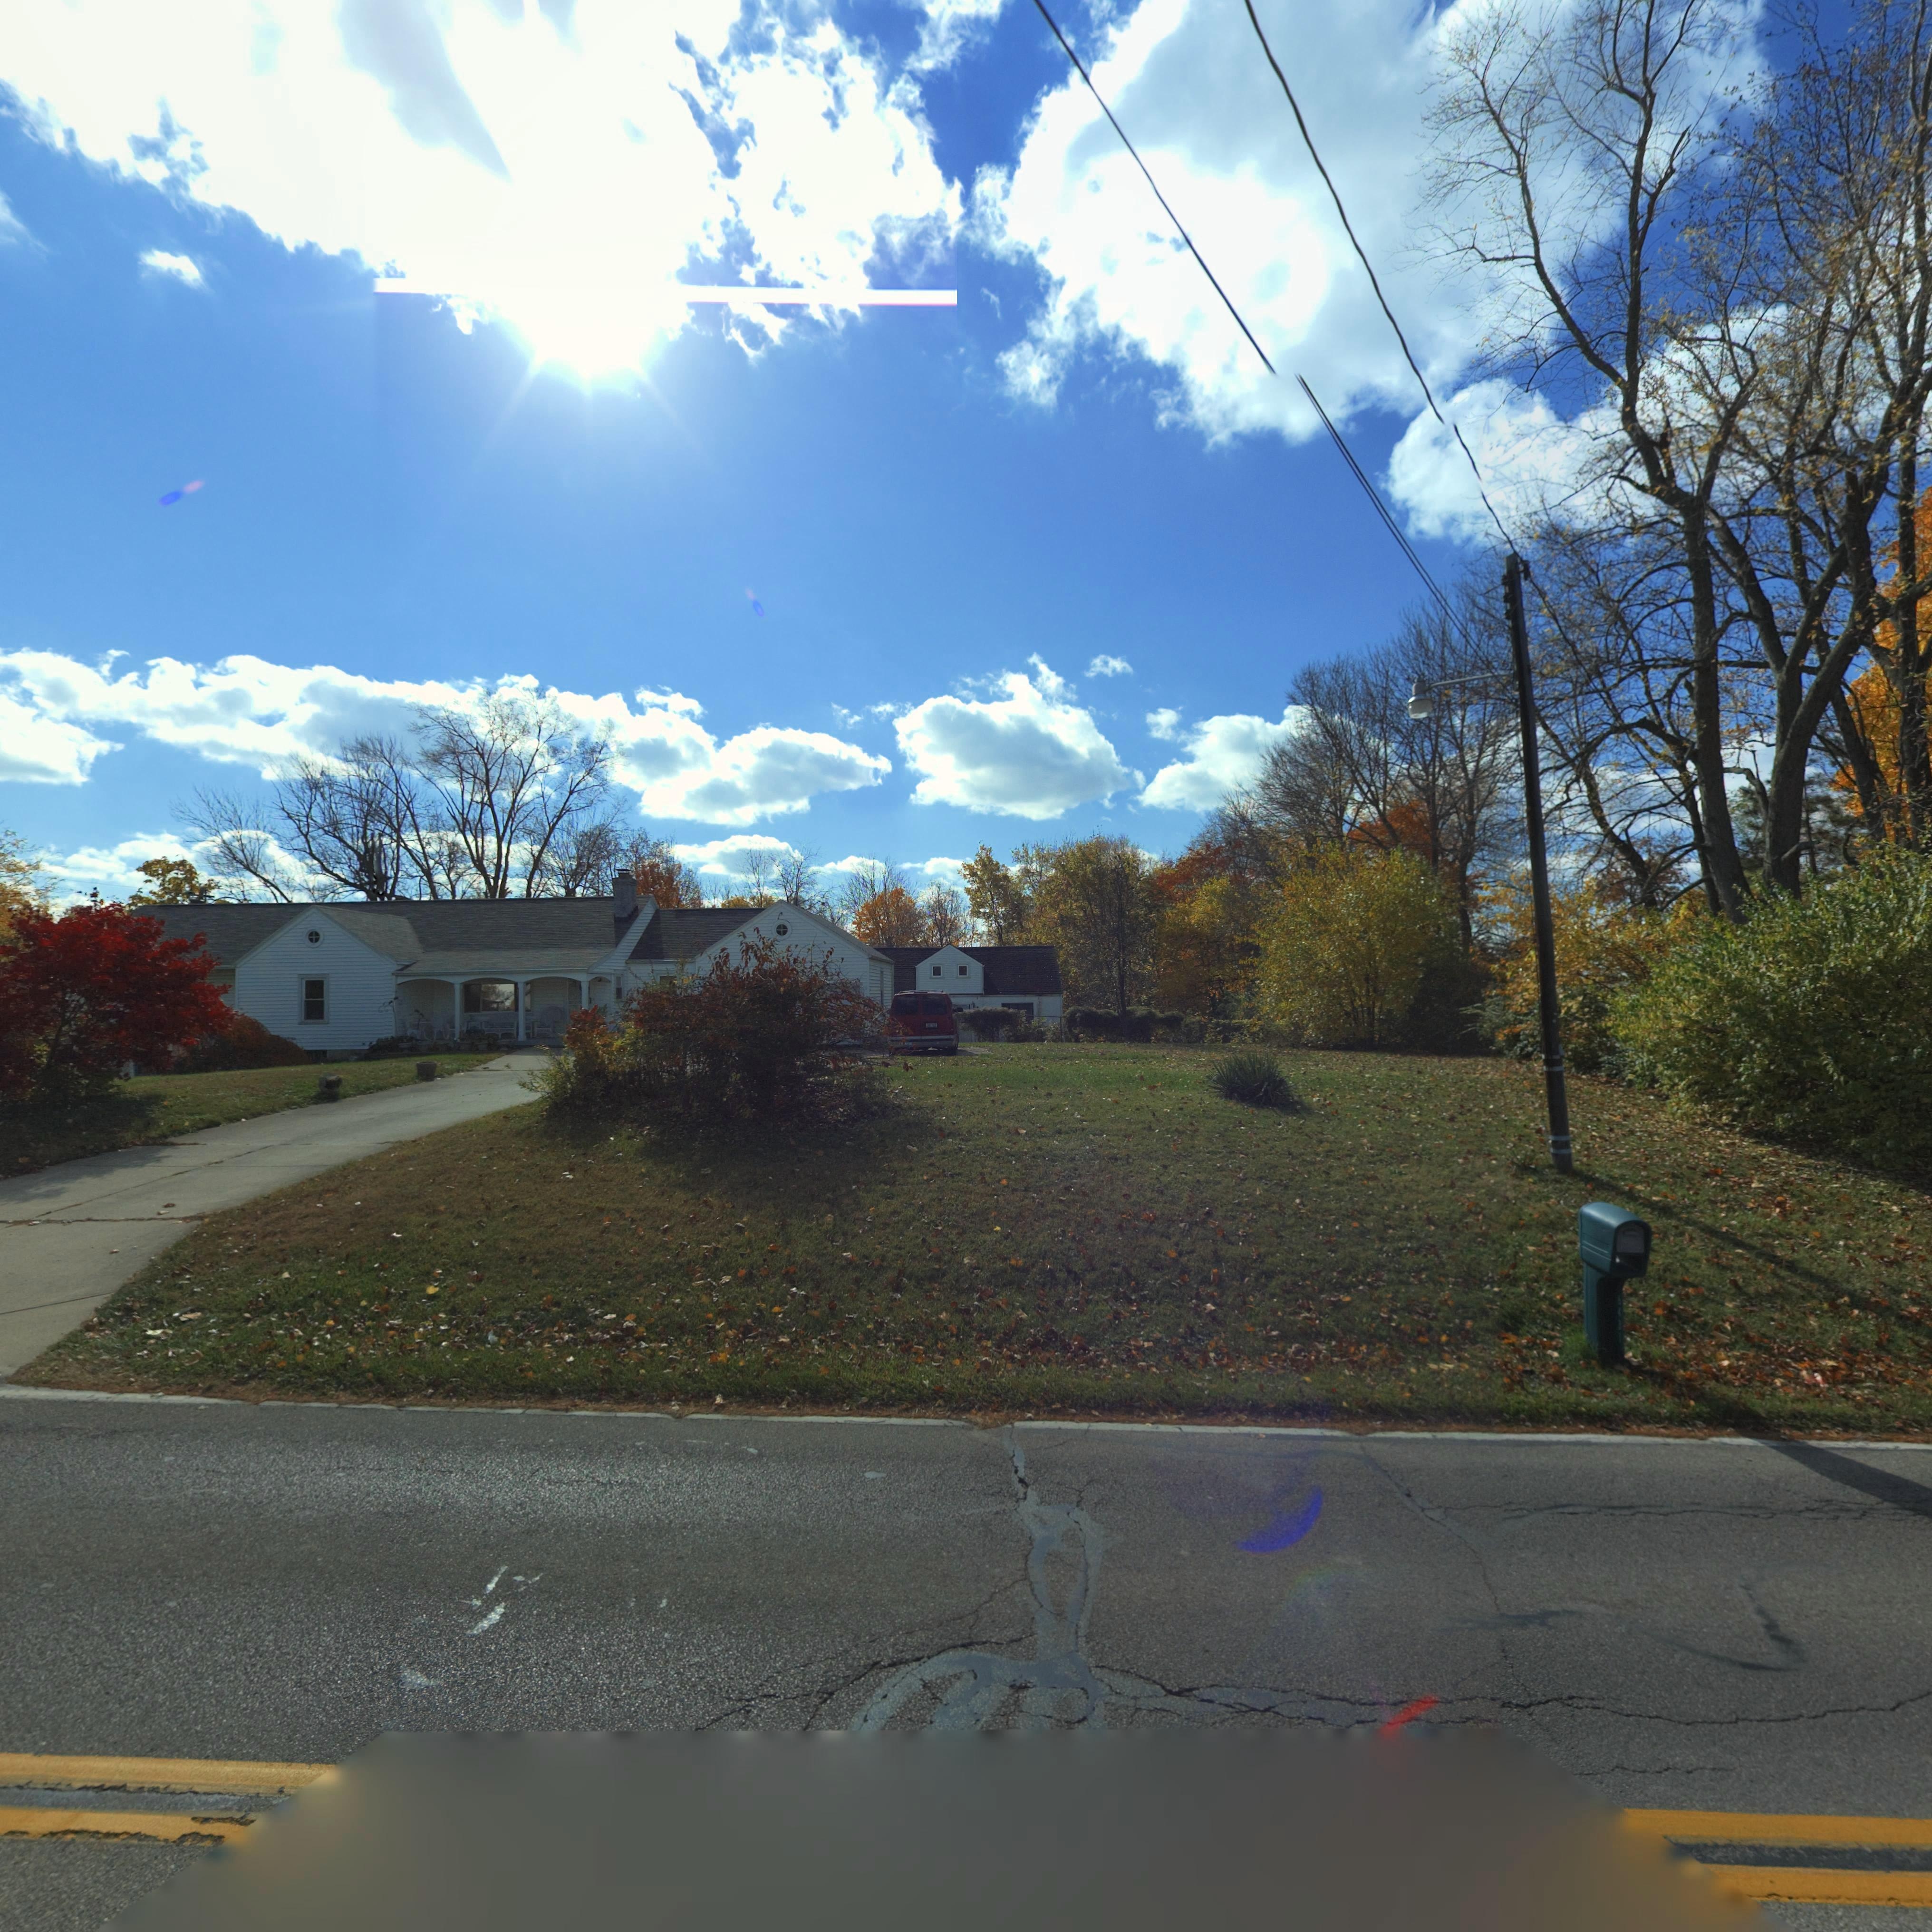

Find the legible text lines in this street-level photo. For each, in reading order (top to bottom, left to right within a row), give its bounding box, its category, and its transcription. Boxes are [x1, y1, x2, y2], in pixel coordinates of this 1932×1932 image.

[1617, 1293, 1623, 1345] StreetNumber: 6431